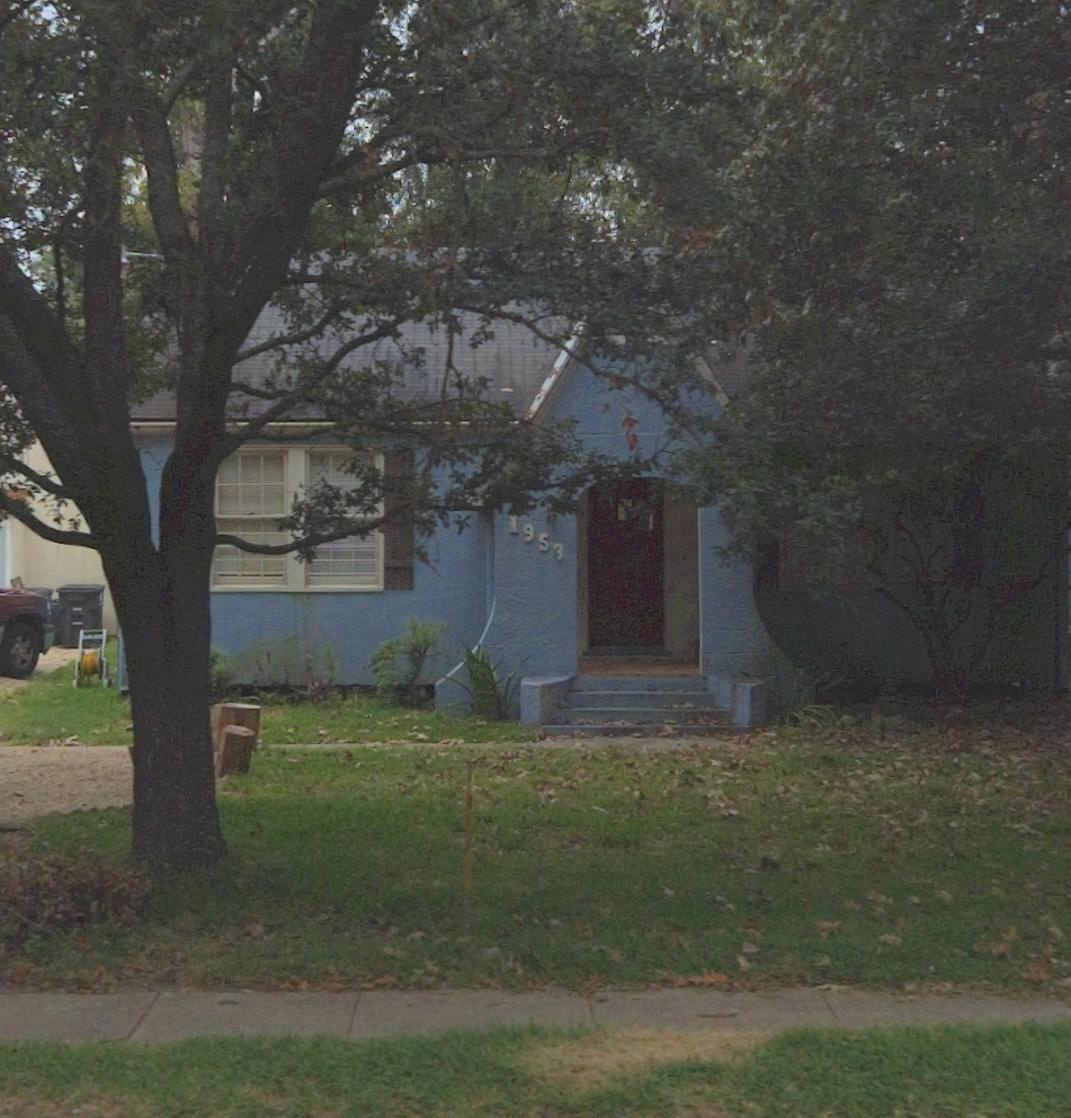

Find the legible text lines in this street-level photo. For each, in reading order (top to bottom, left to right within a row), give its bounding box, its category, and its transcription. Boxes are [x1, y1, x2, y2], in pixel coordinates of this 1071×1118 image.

[508, 512, 564, 562] StreetNumber: 1953